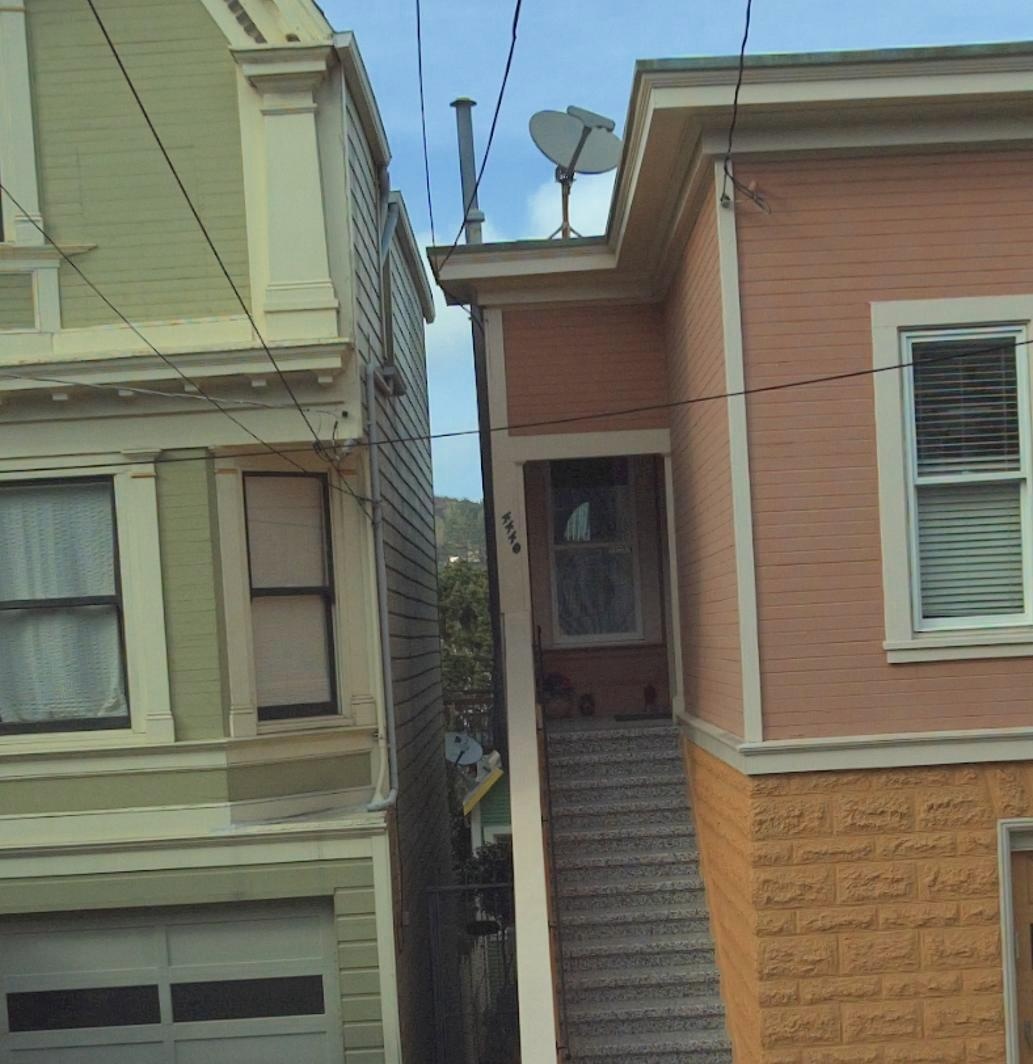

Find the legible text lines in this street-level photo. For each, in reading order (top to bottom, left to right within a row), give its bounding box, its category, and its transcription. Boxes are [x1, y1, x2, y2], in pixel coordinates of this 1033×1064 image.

[499, 507, 523, 560] StreetNumber: 4440